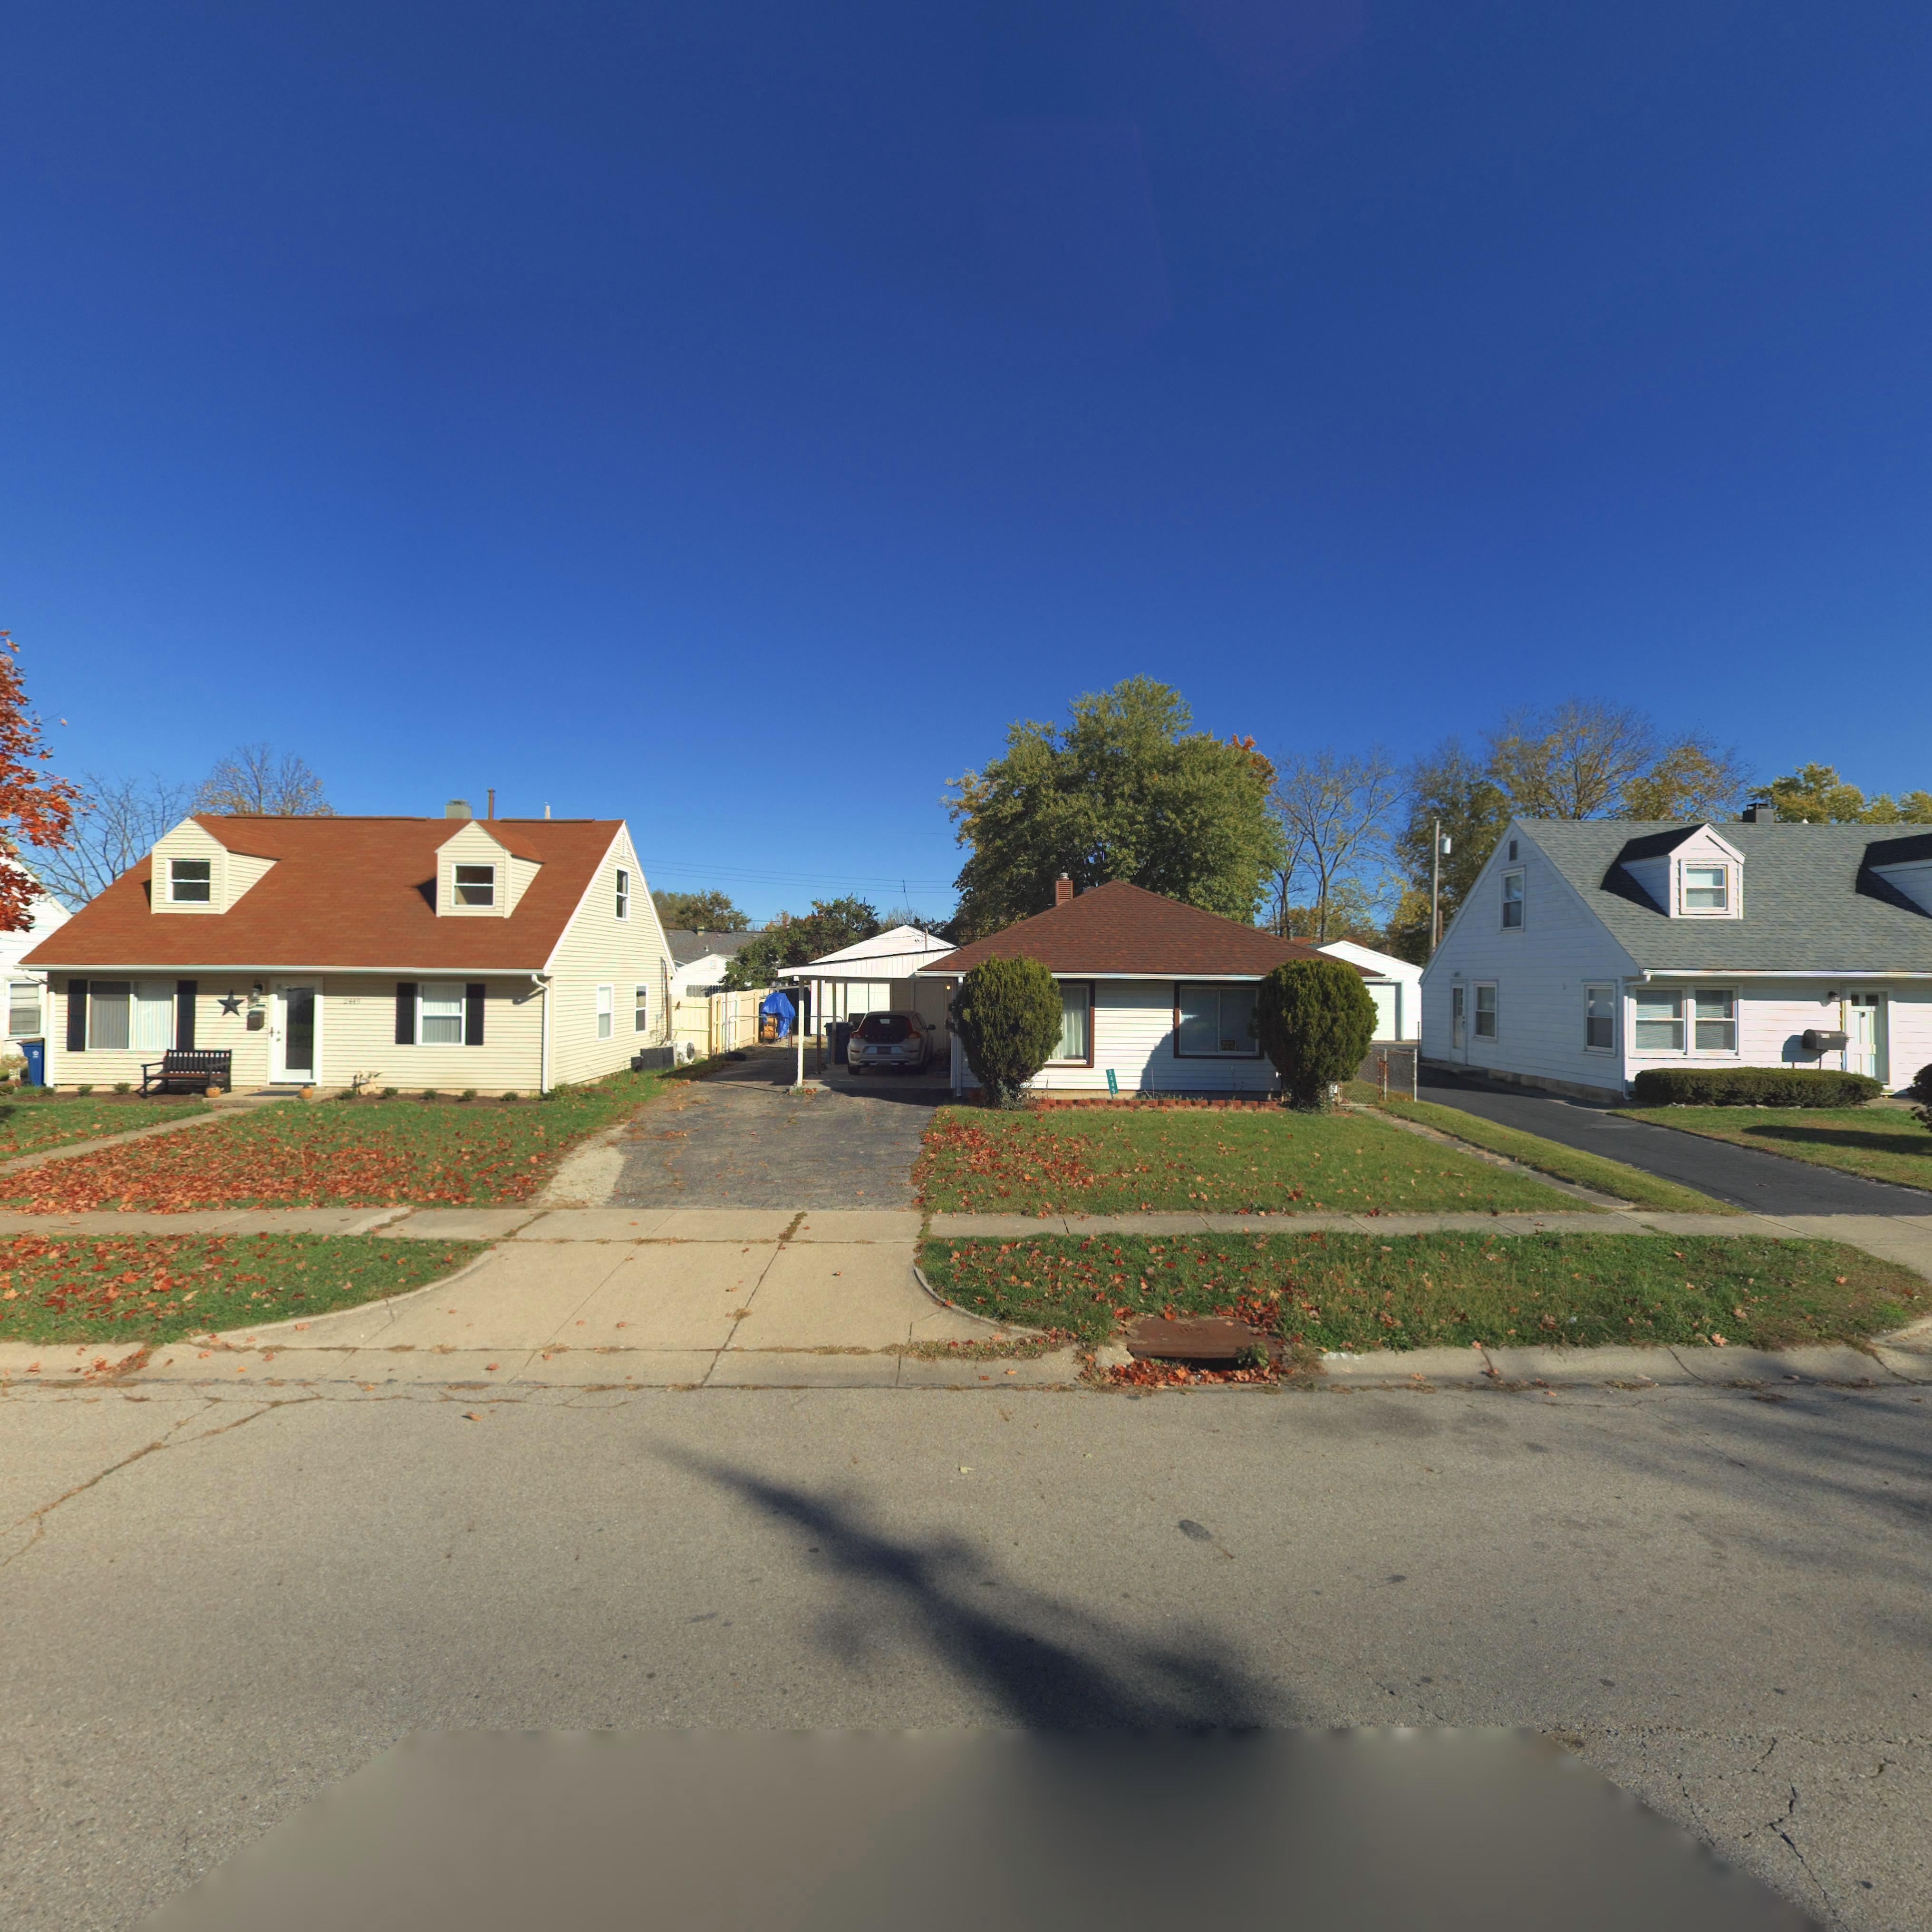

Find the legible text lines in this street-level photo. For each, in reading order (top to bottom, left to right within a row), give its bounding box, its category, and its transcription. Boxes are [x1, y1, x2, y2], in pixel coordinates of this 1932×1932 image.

[342, 997, 362, 1005] StreetNumber: 2449
[1107, 1069, 1118, 1095] StreetNumber: 2445